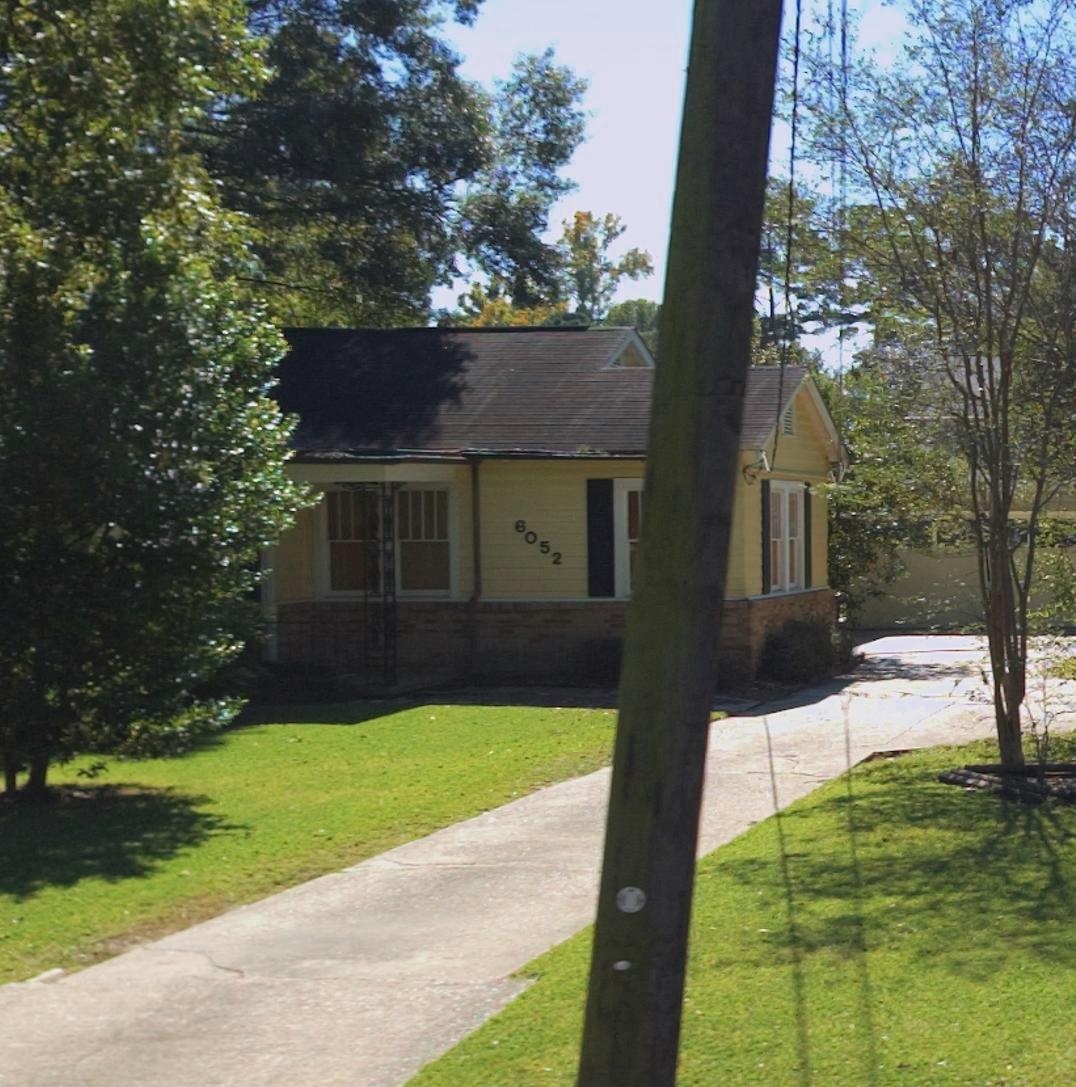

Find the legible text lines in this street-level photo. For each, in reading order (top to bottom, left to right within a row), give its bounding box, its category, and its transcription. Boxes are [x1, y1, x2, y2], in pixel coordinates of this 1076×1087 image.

[512, 518, 564, 568] StreetNumber: 6052